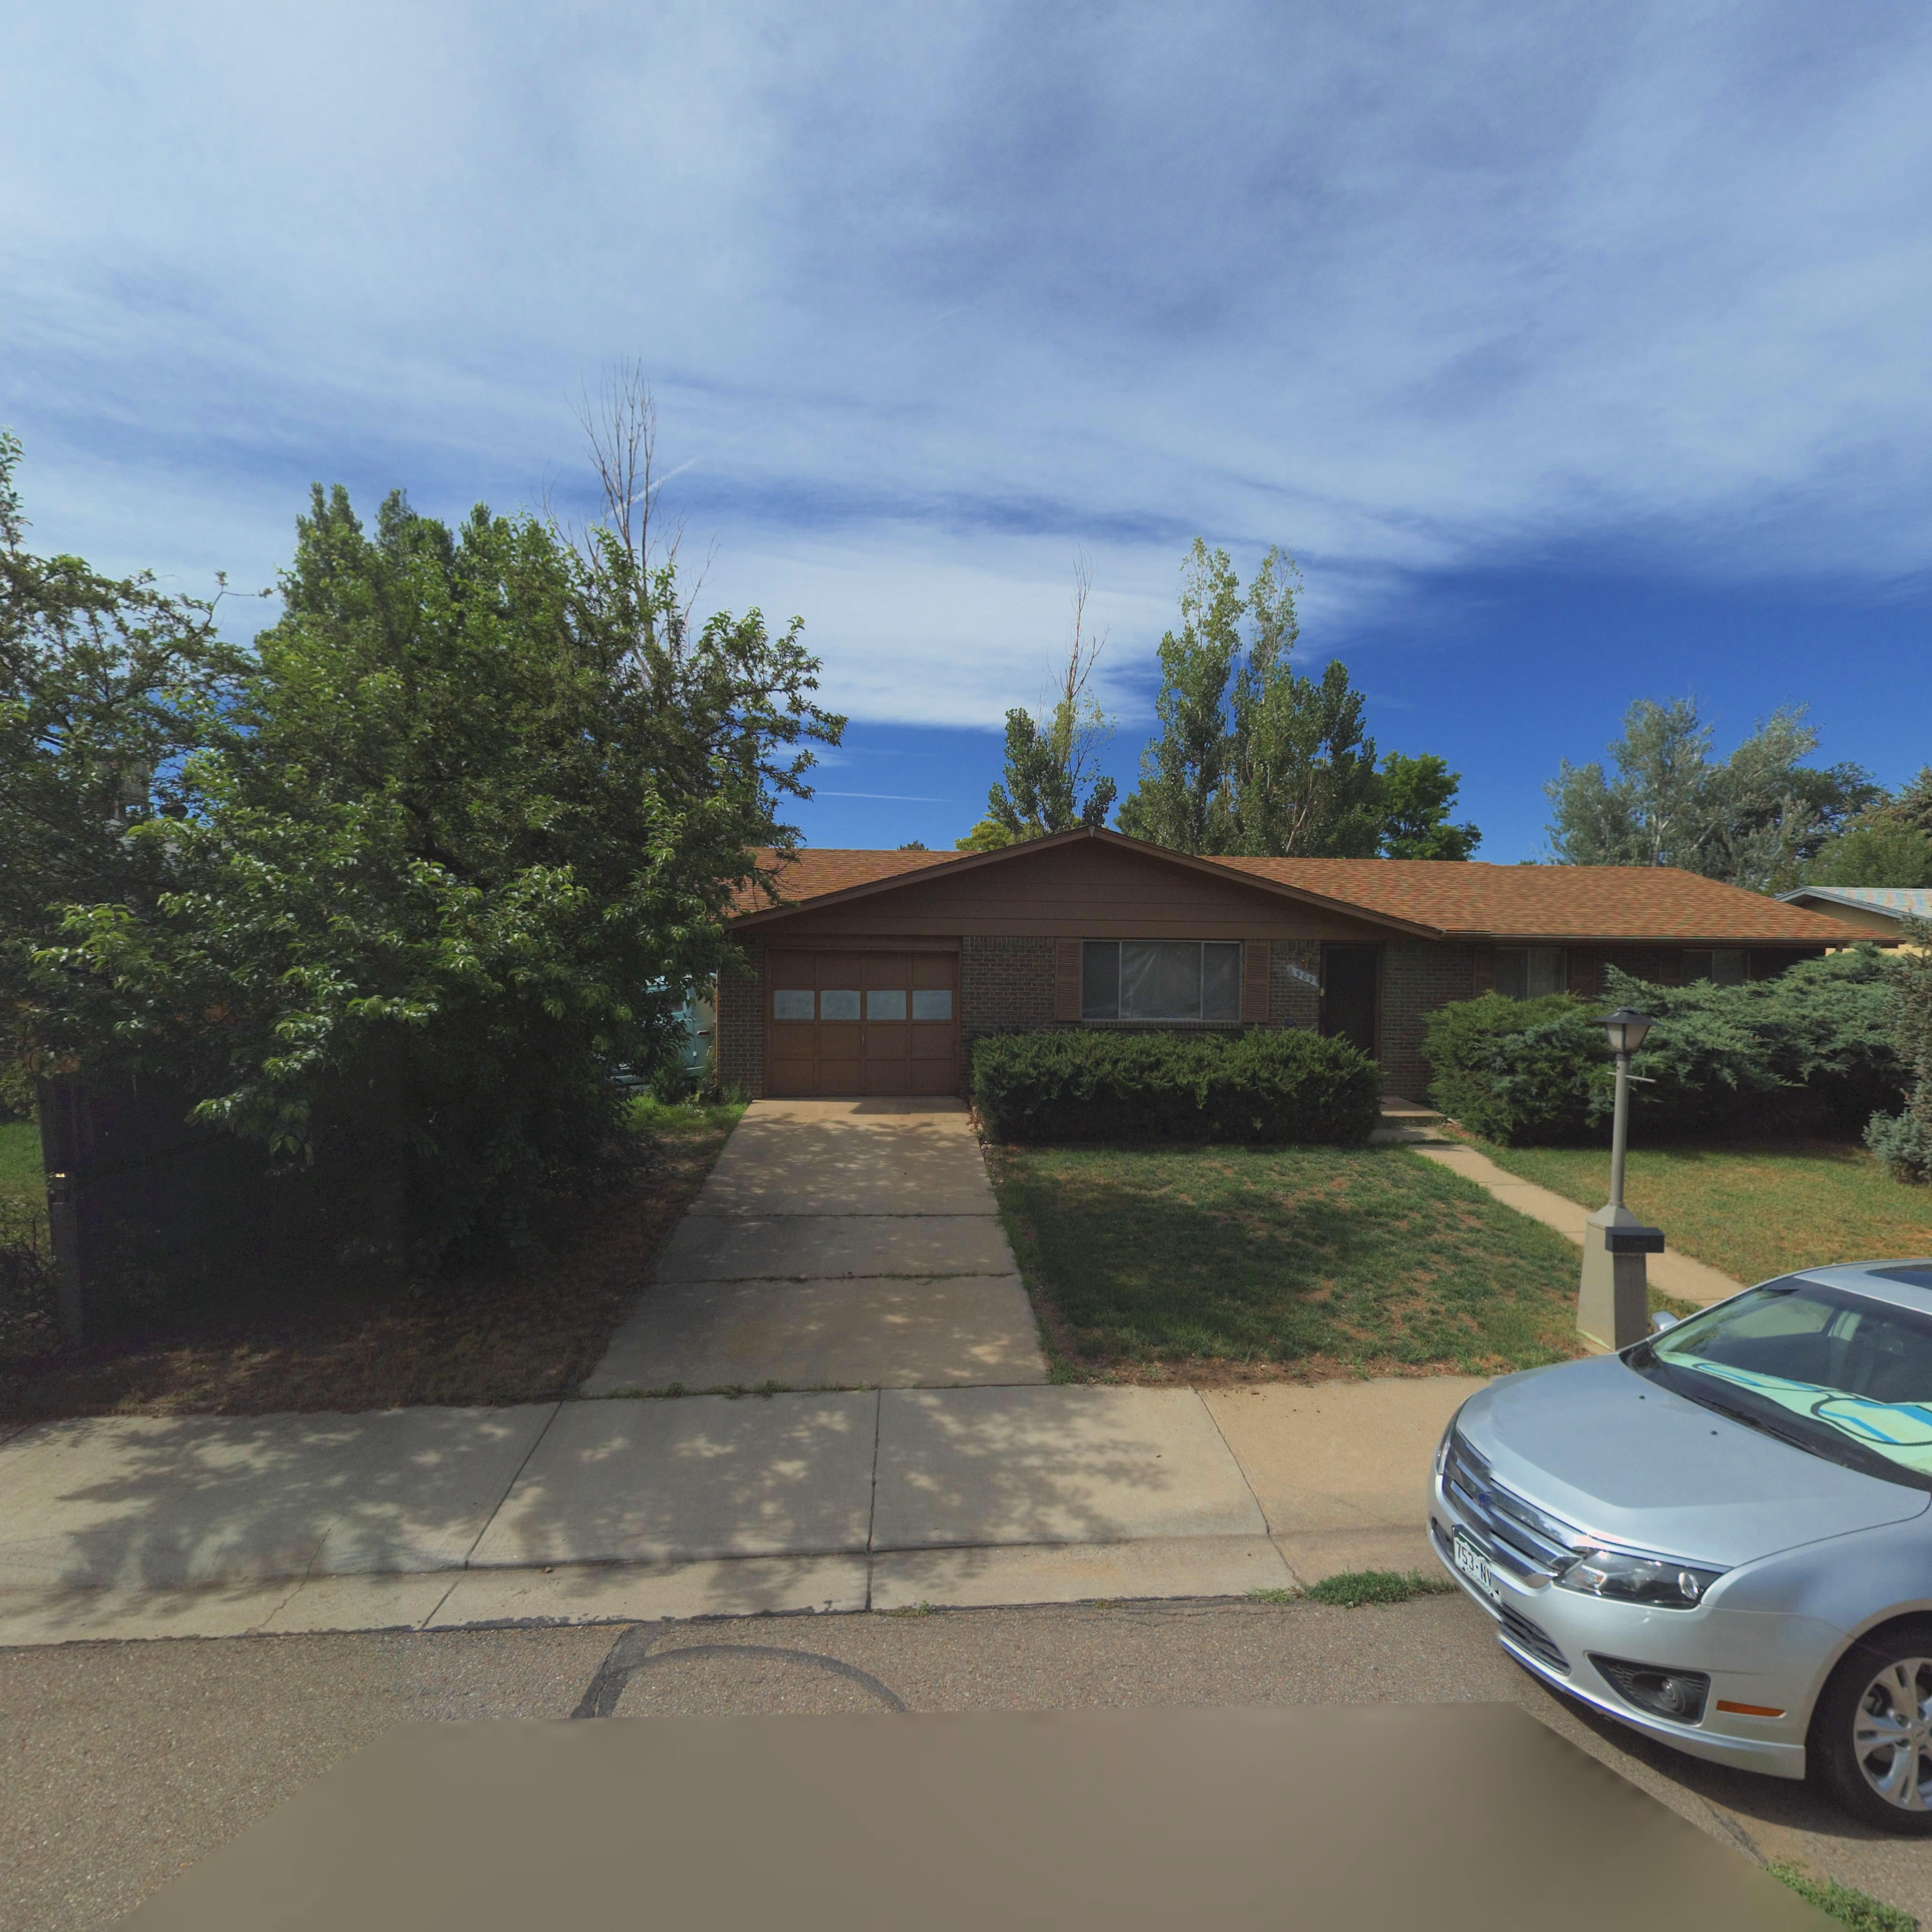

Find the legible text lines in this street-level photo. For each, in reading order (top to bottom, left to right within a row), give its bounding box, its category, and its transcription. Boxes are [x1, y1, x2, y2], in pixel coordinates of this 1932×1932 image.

[1296, 970, 1313, 983] StreetNumber: 909